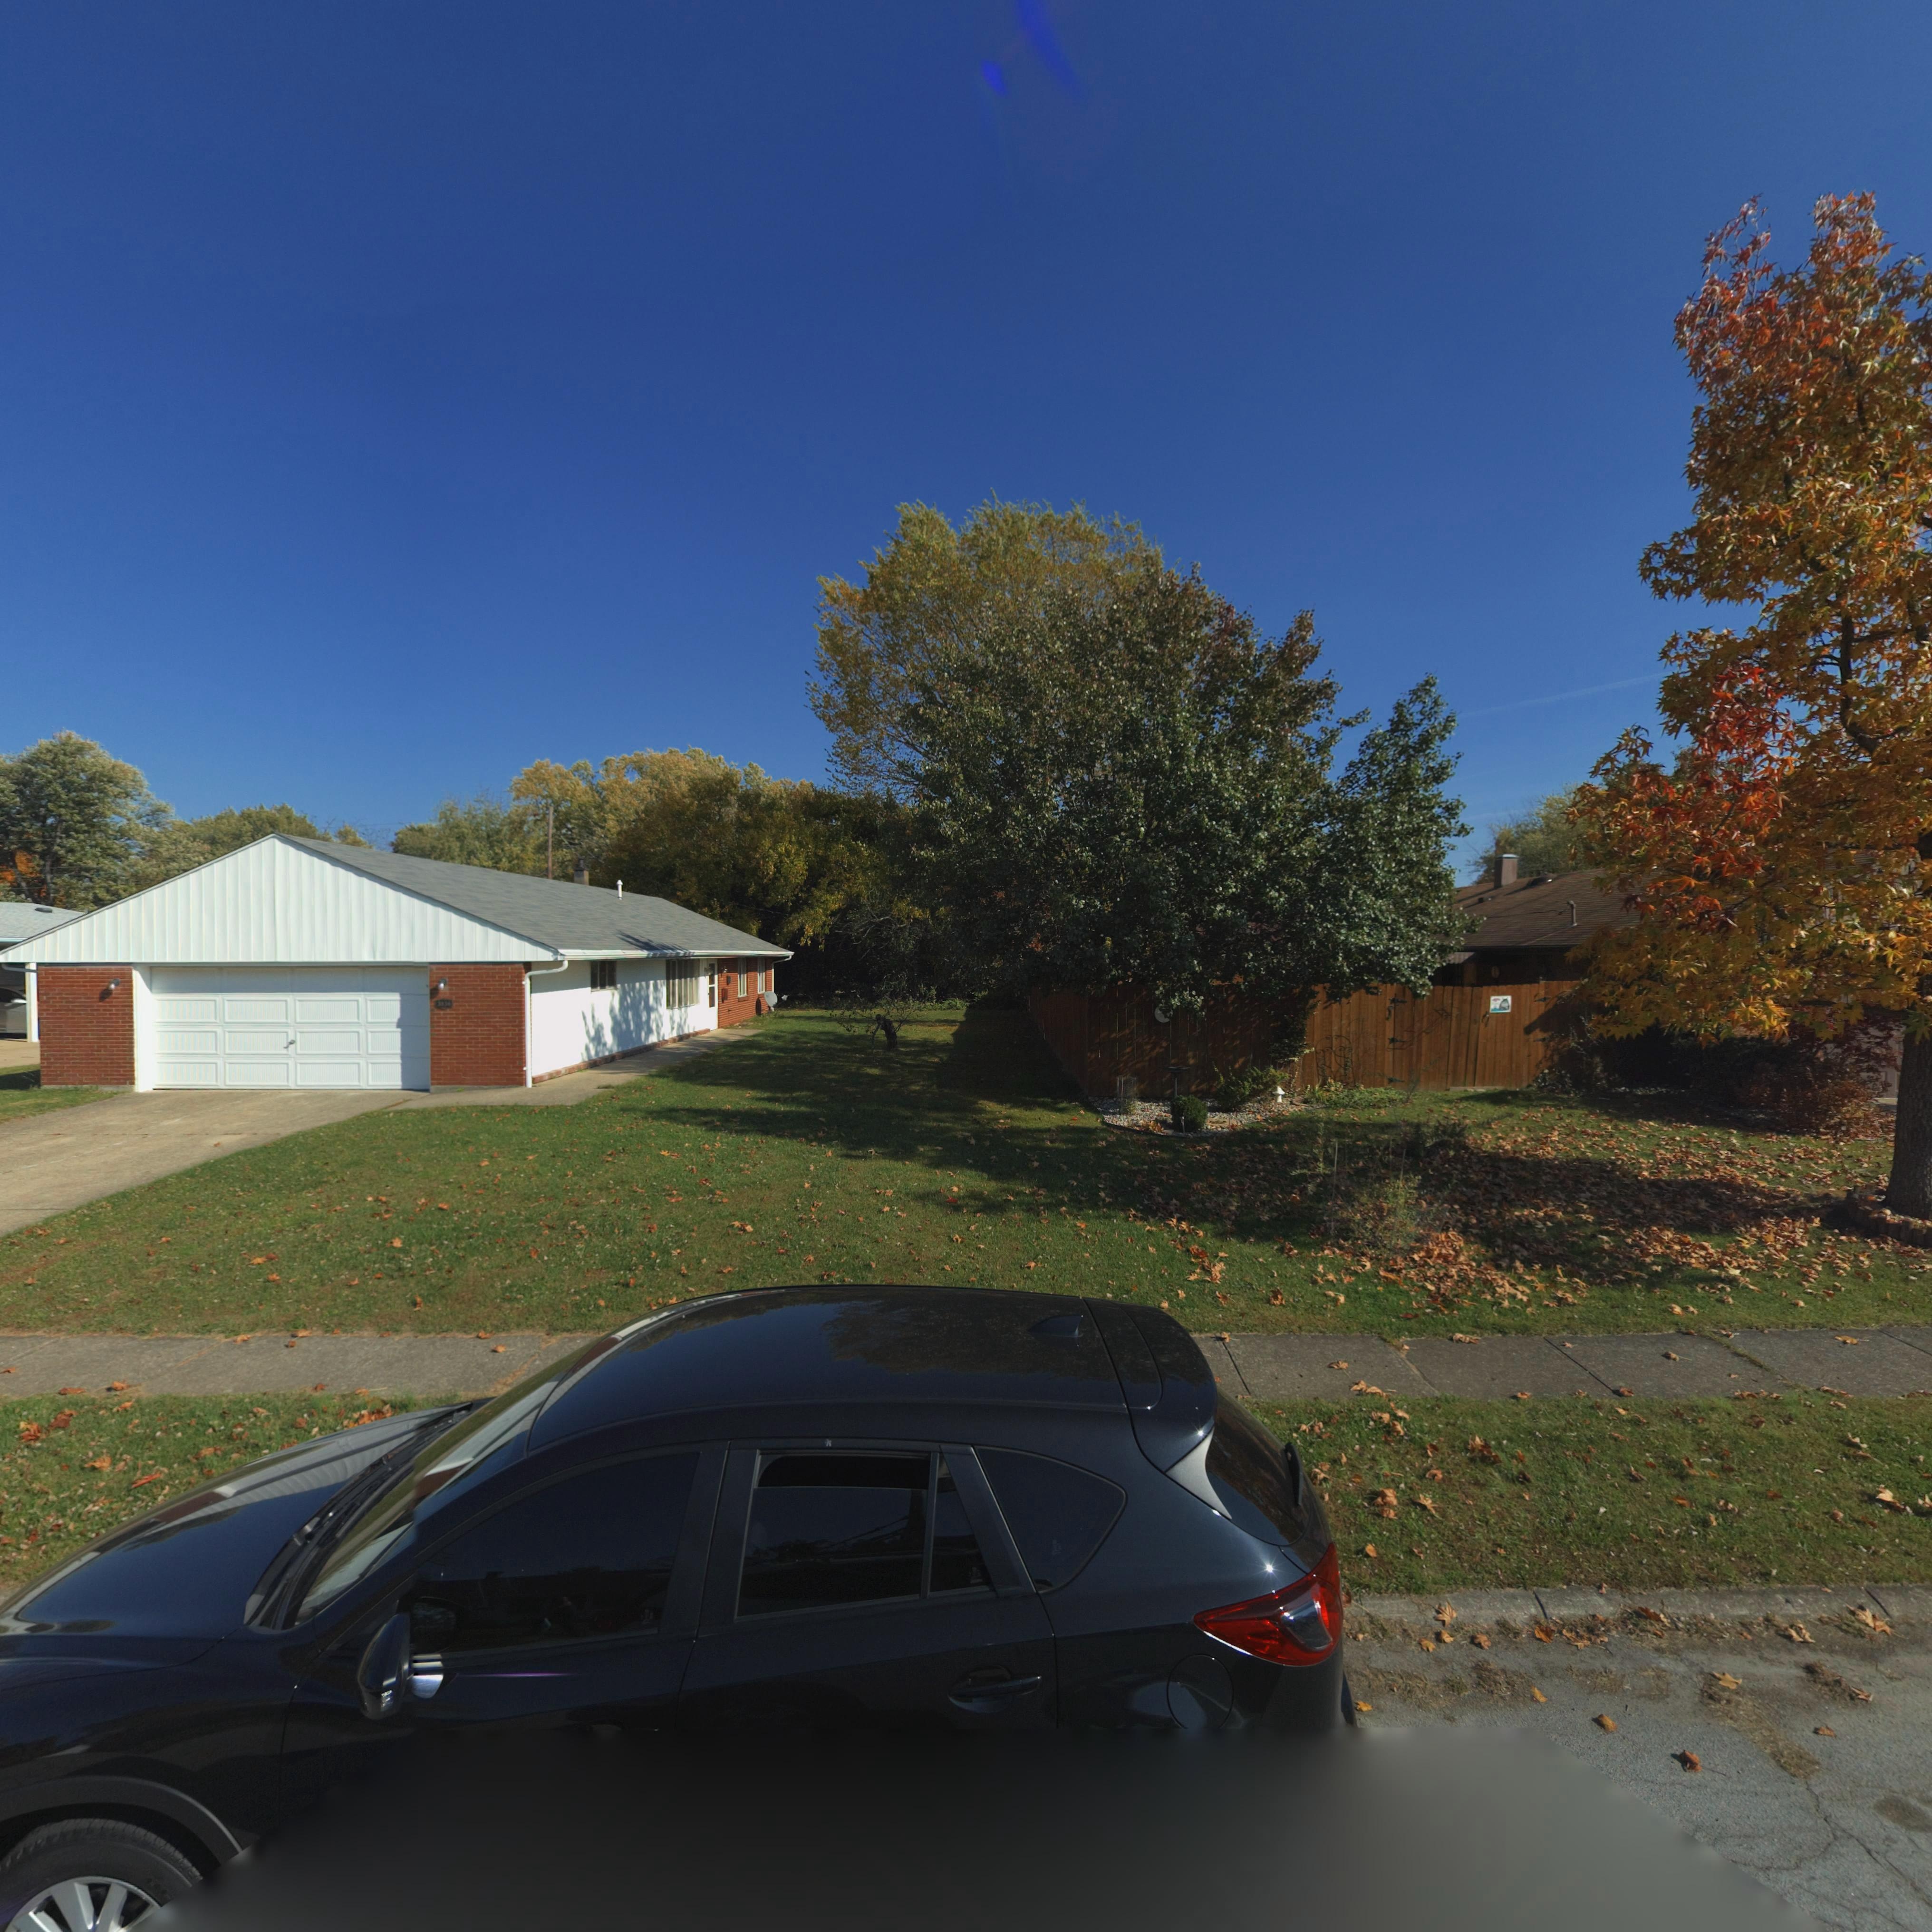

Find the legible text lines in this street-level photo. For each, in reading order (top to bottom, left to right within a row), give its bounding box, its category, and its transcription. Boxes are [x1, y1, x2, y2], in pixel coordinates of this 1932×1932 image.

[436, 1000, 452, 1007] StreetNumber: 385*